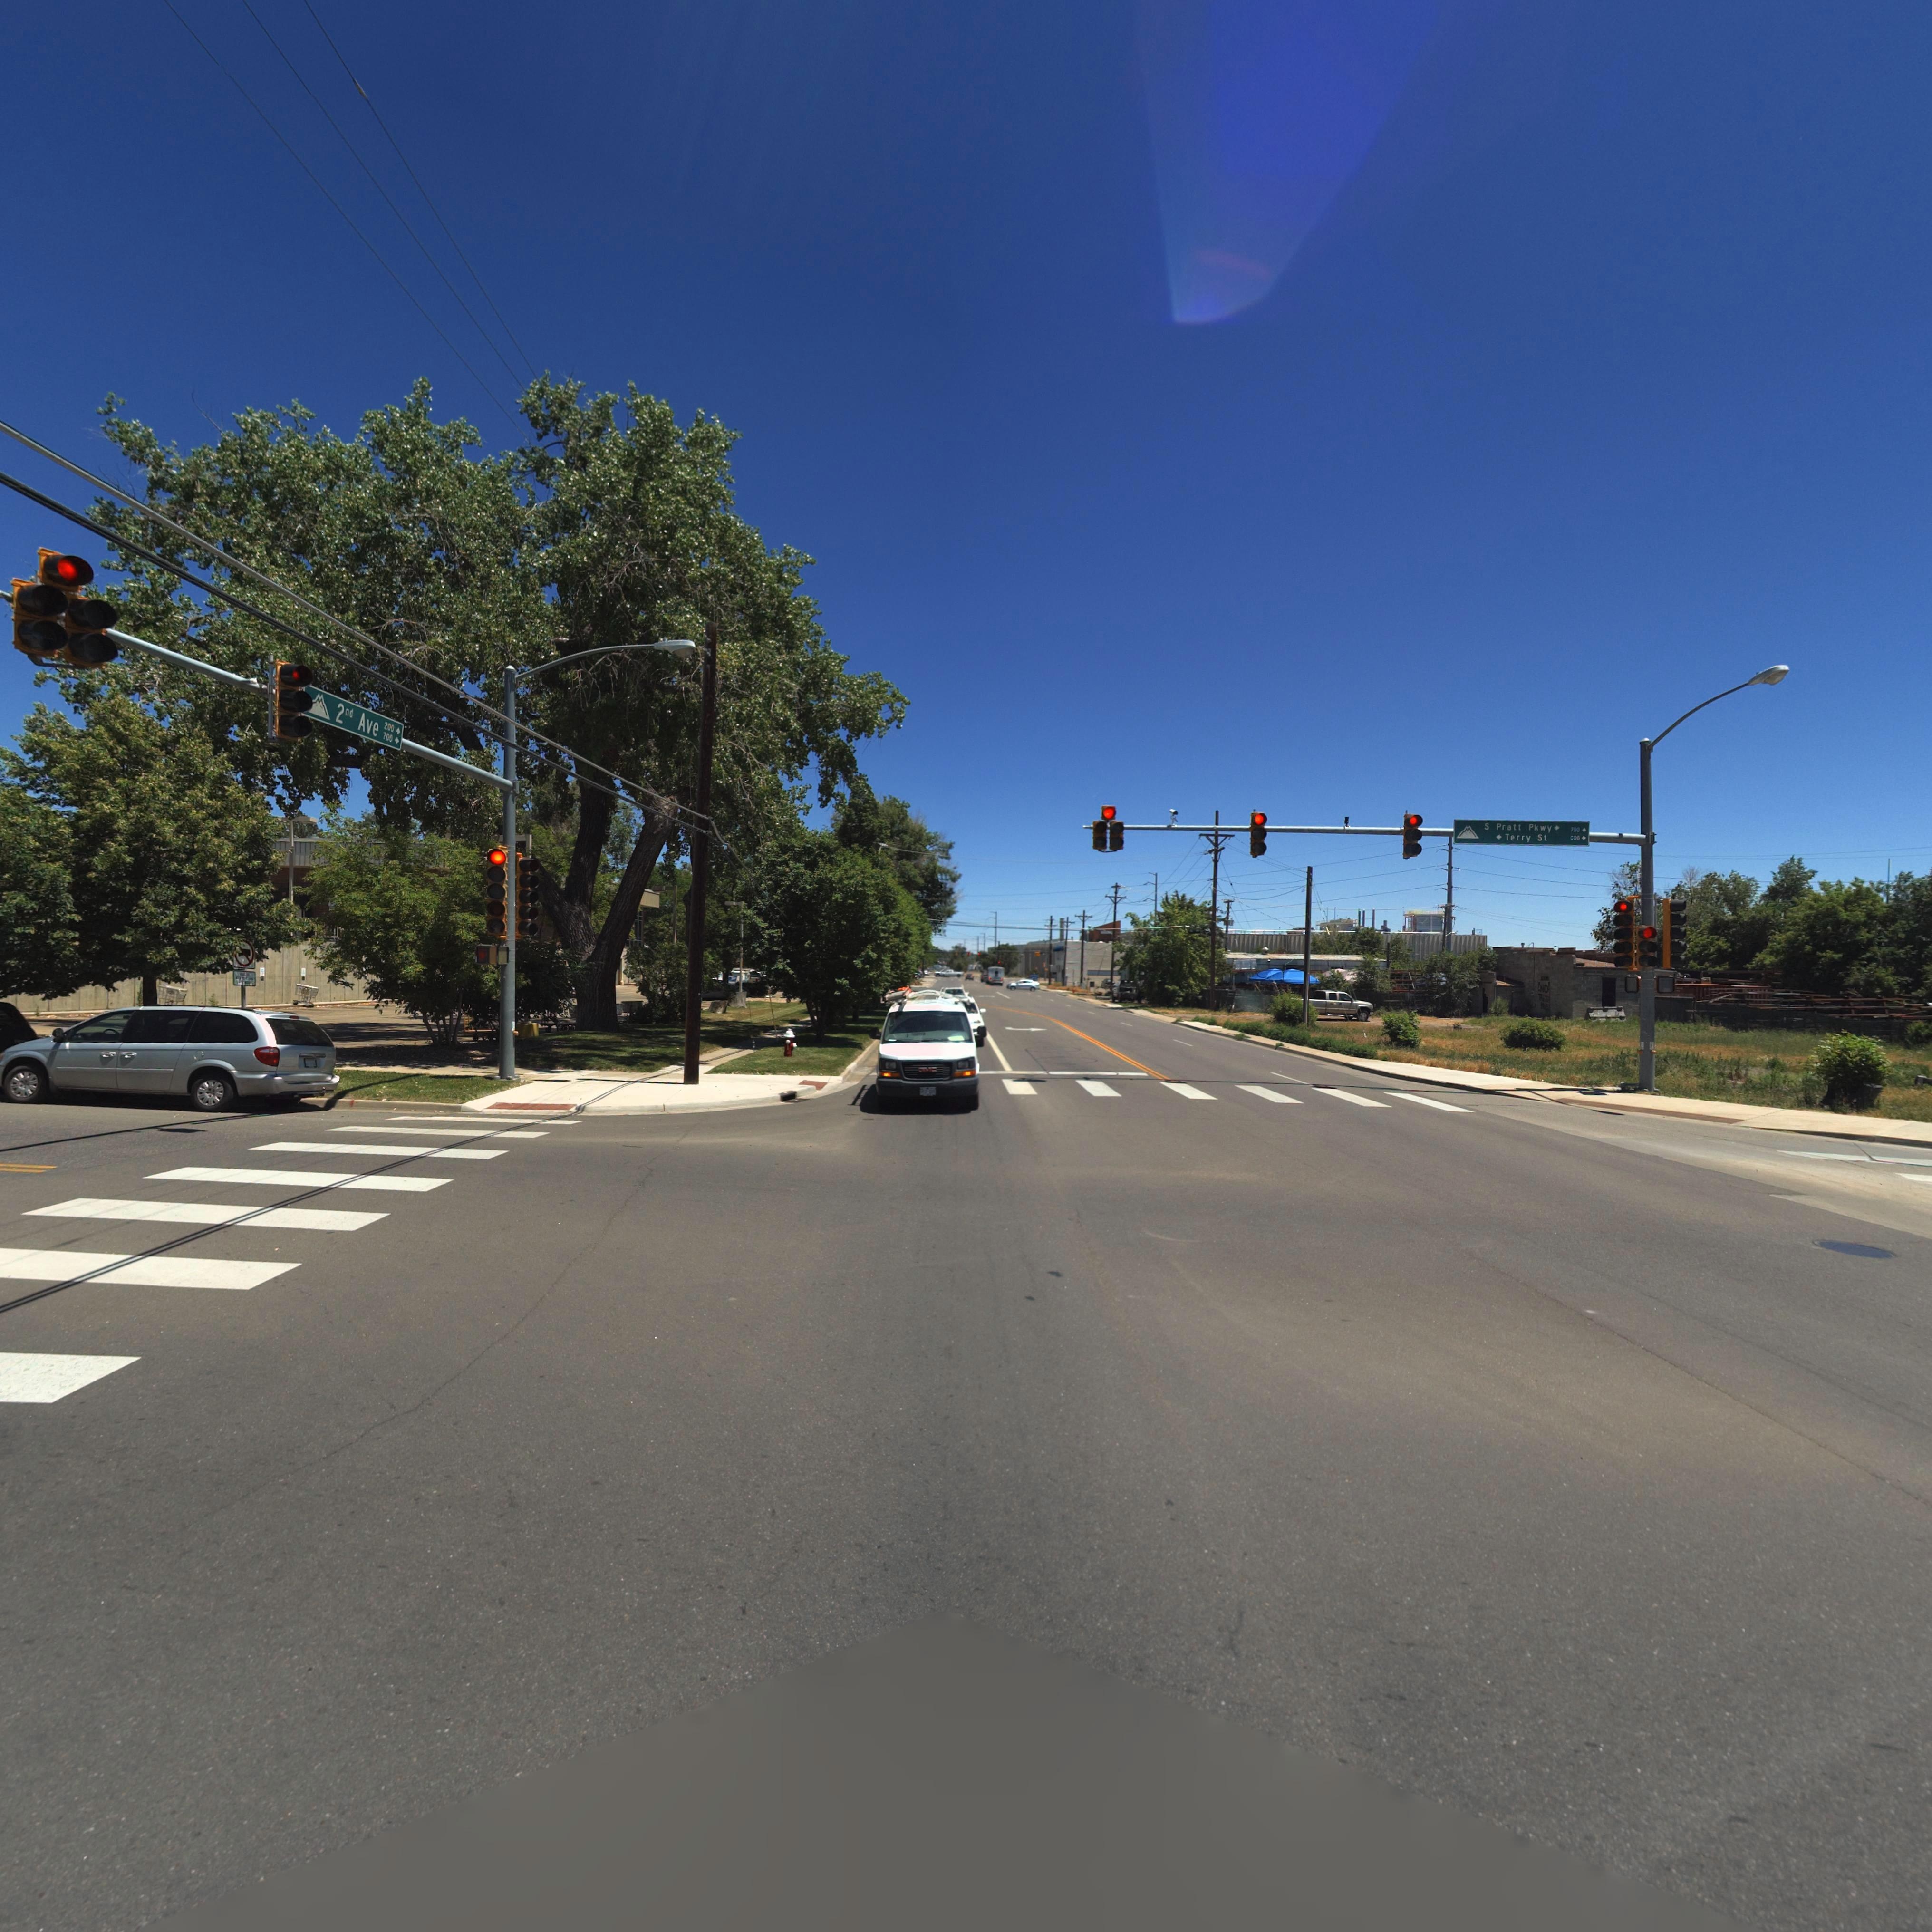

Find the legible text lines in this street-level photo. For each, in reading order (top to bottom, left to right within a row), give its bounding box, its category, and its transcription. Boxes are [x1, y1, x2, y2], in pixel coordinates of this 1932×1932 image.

[334, 702, 379, 737] StreetName: 2nd Ave
[383, 721, 395, 733] StreetNumberRange: 200
[382, 731, 399, 744] StreetNumberRange: 700->
[1484, 822, 1553, 833] StreetName: S Pratt Pkwy
[1570, 827, 1580, 833] StreetNumberRange: 700
[1505, 833, 1547, 843] StreetName: Terry St
[1570, 835, 1586, 840] StreetNumberRange: 000->